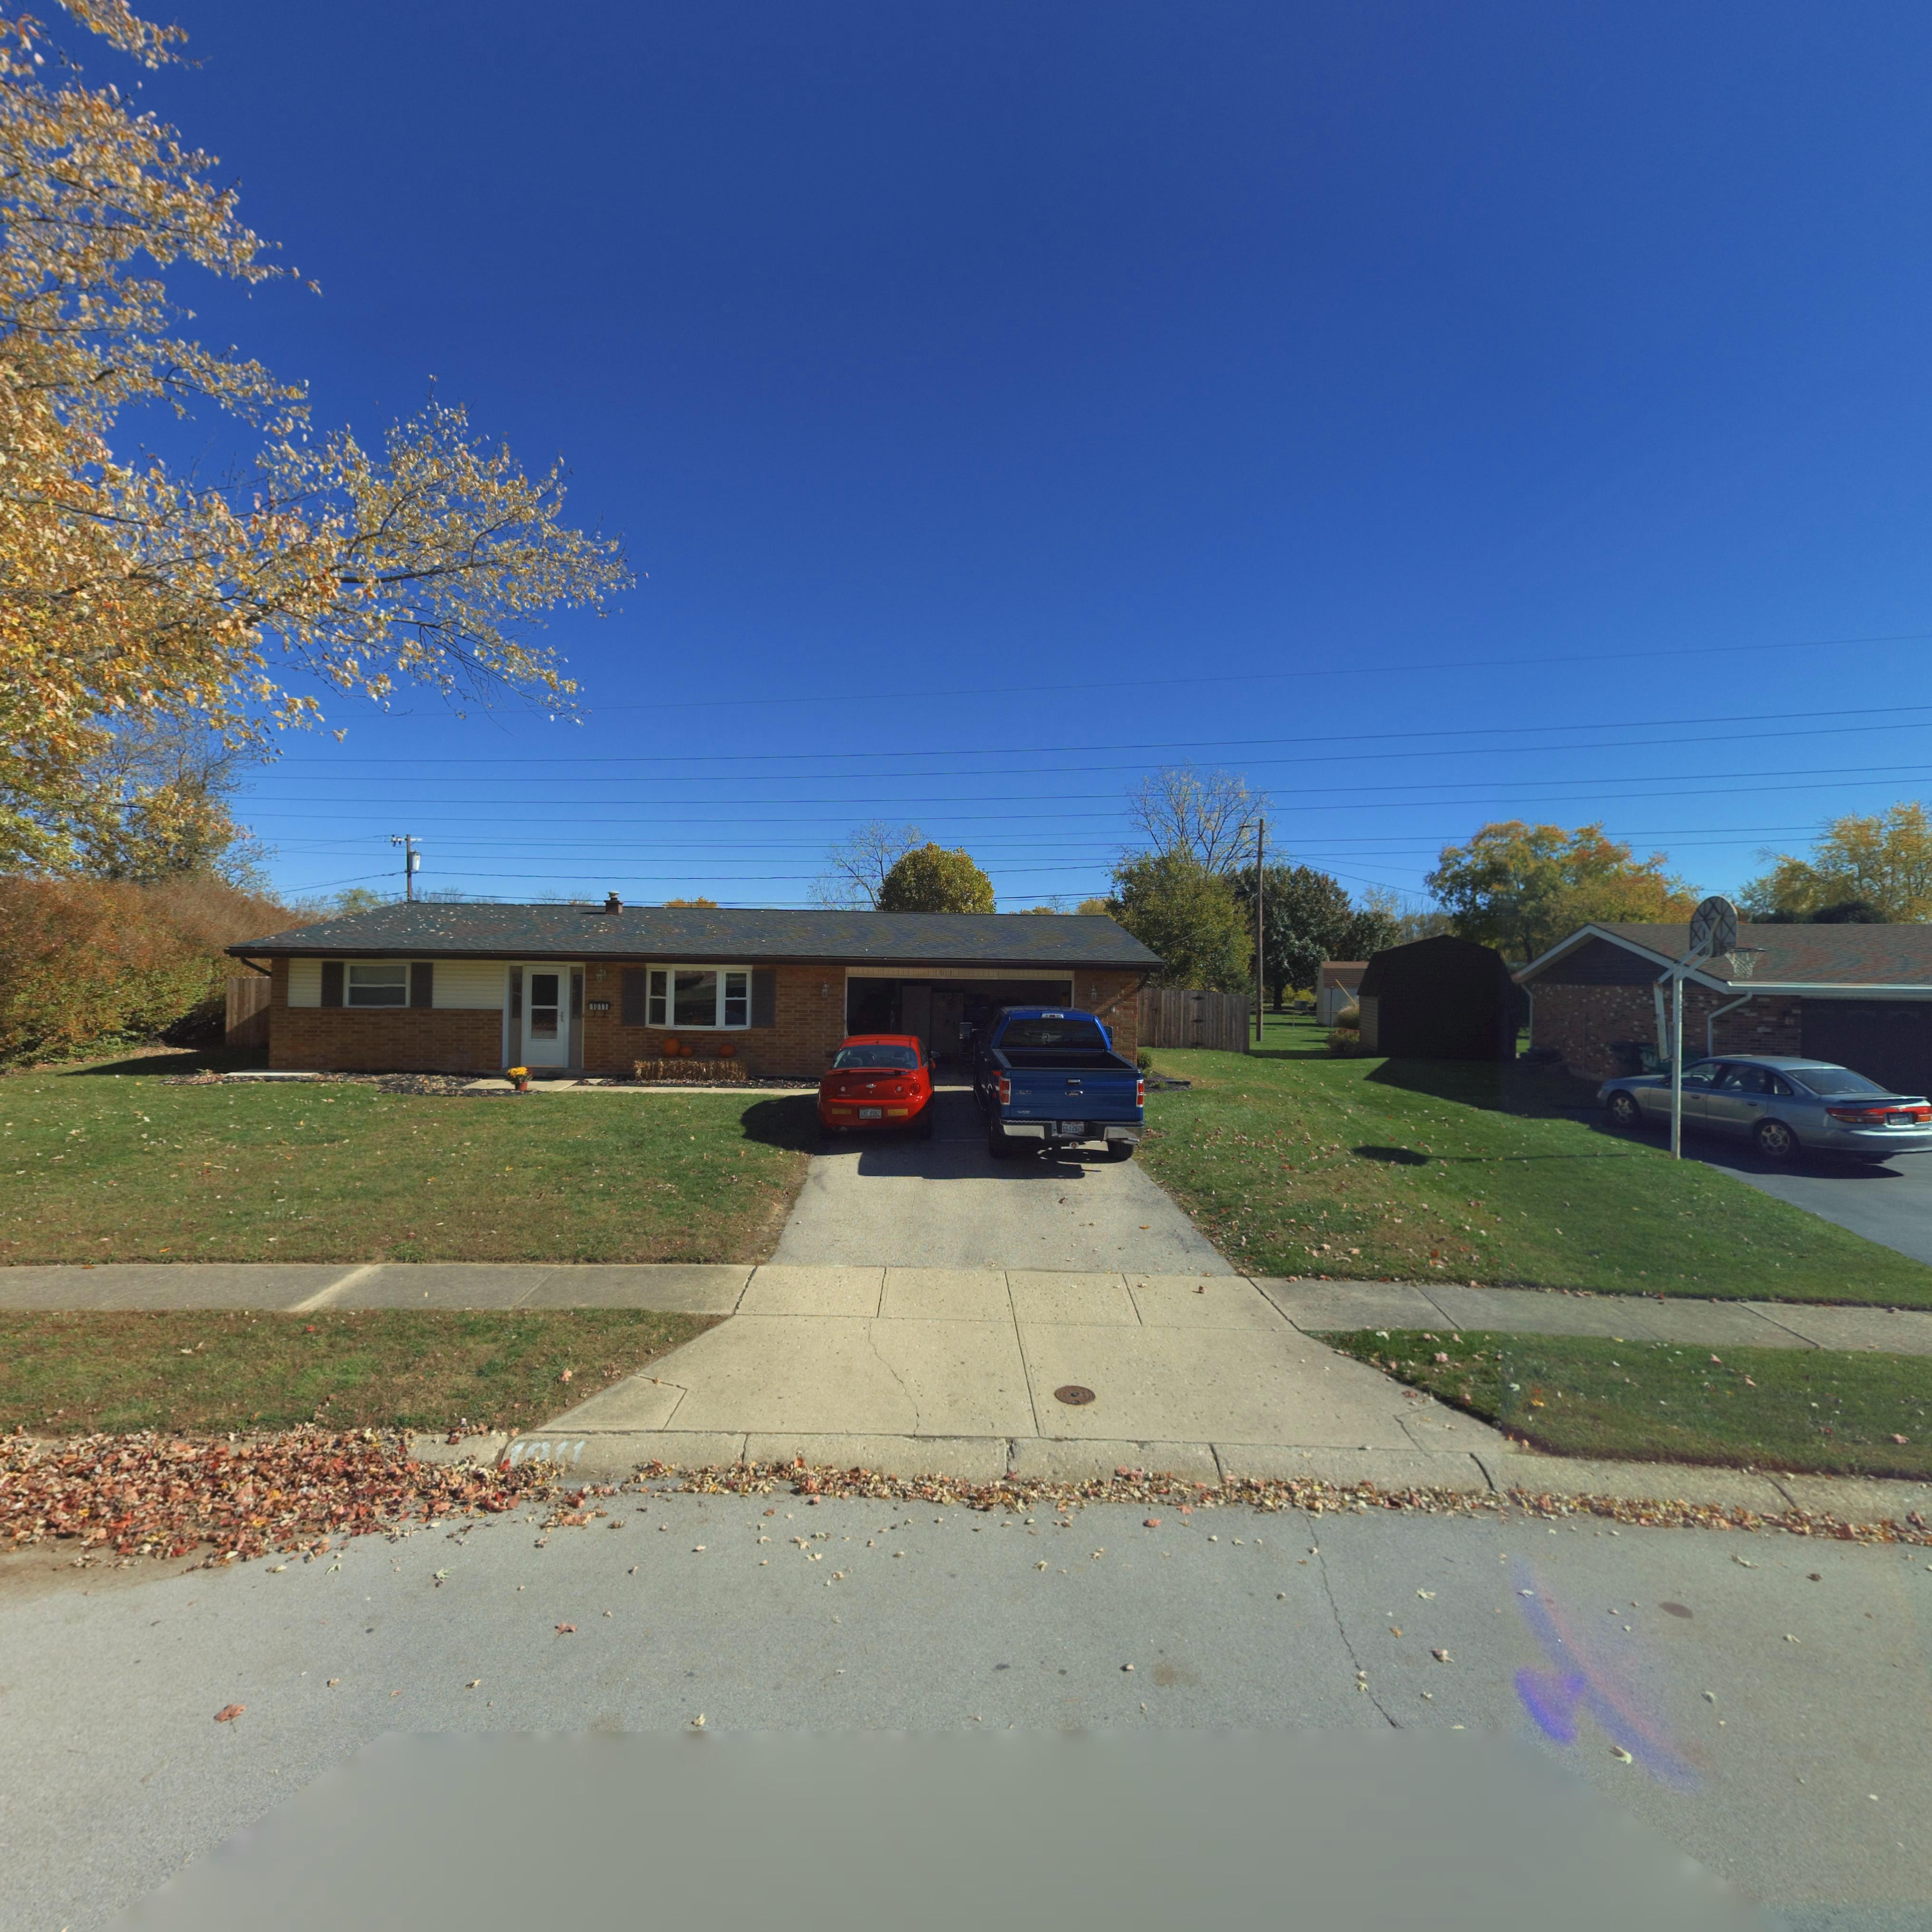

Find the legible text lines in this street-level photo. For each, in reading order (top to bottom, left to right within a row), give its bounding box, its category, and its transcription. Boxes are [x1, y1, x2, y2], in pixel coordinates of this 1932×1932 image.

[935, 969, 953, 976] StreetNumber: 1011
[591, 1003, 606, 1010] StreetNumber: 1011
[505, 1440, 587, 1473] StreetNumber: 1011